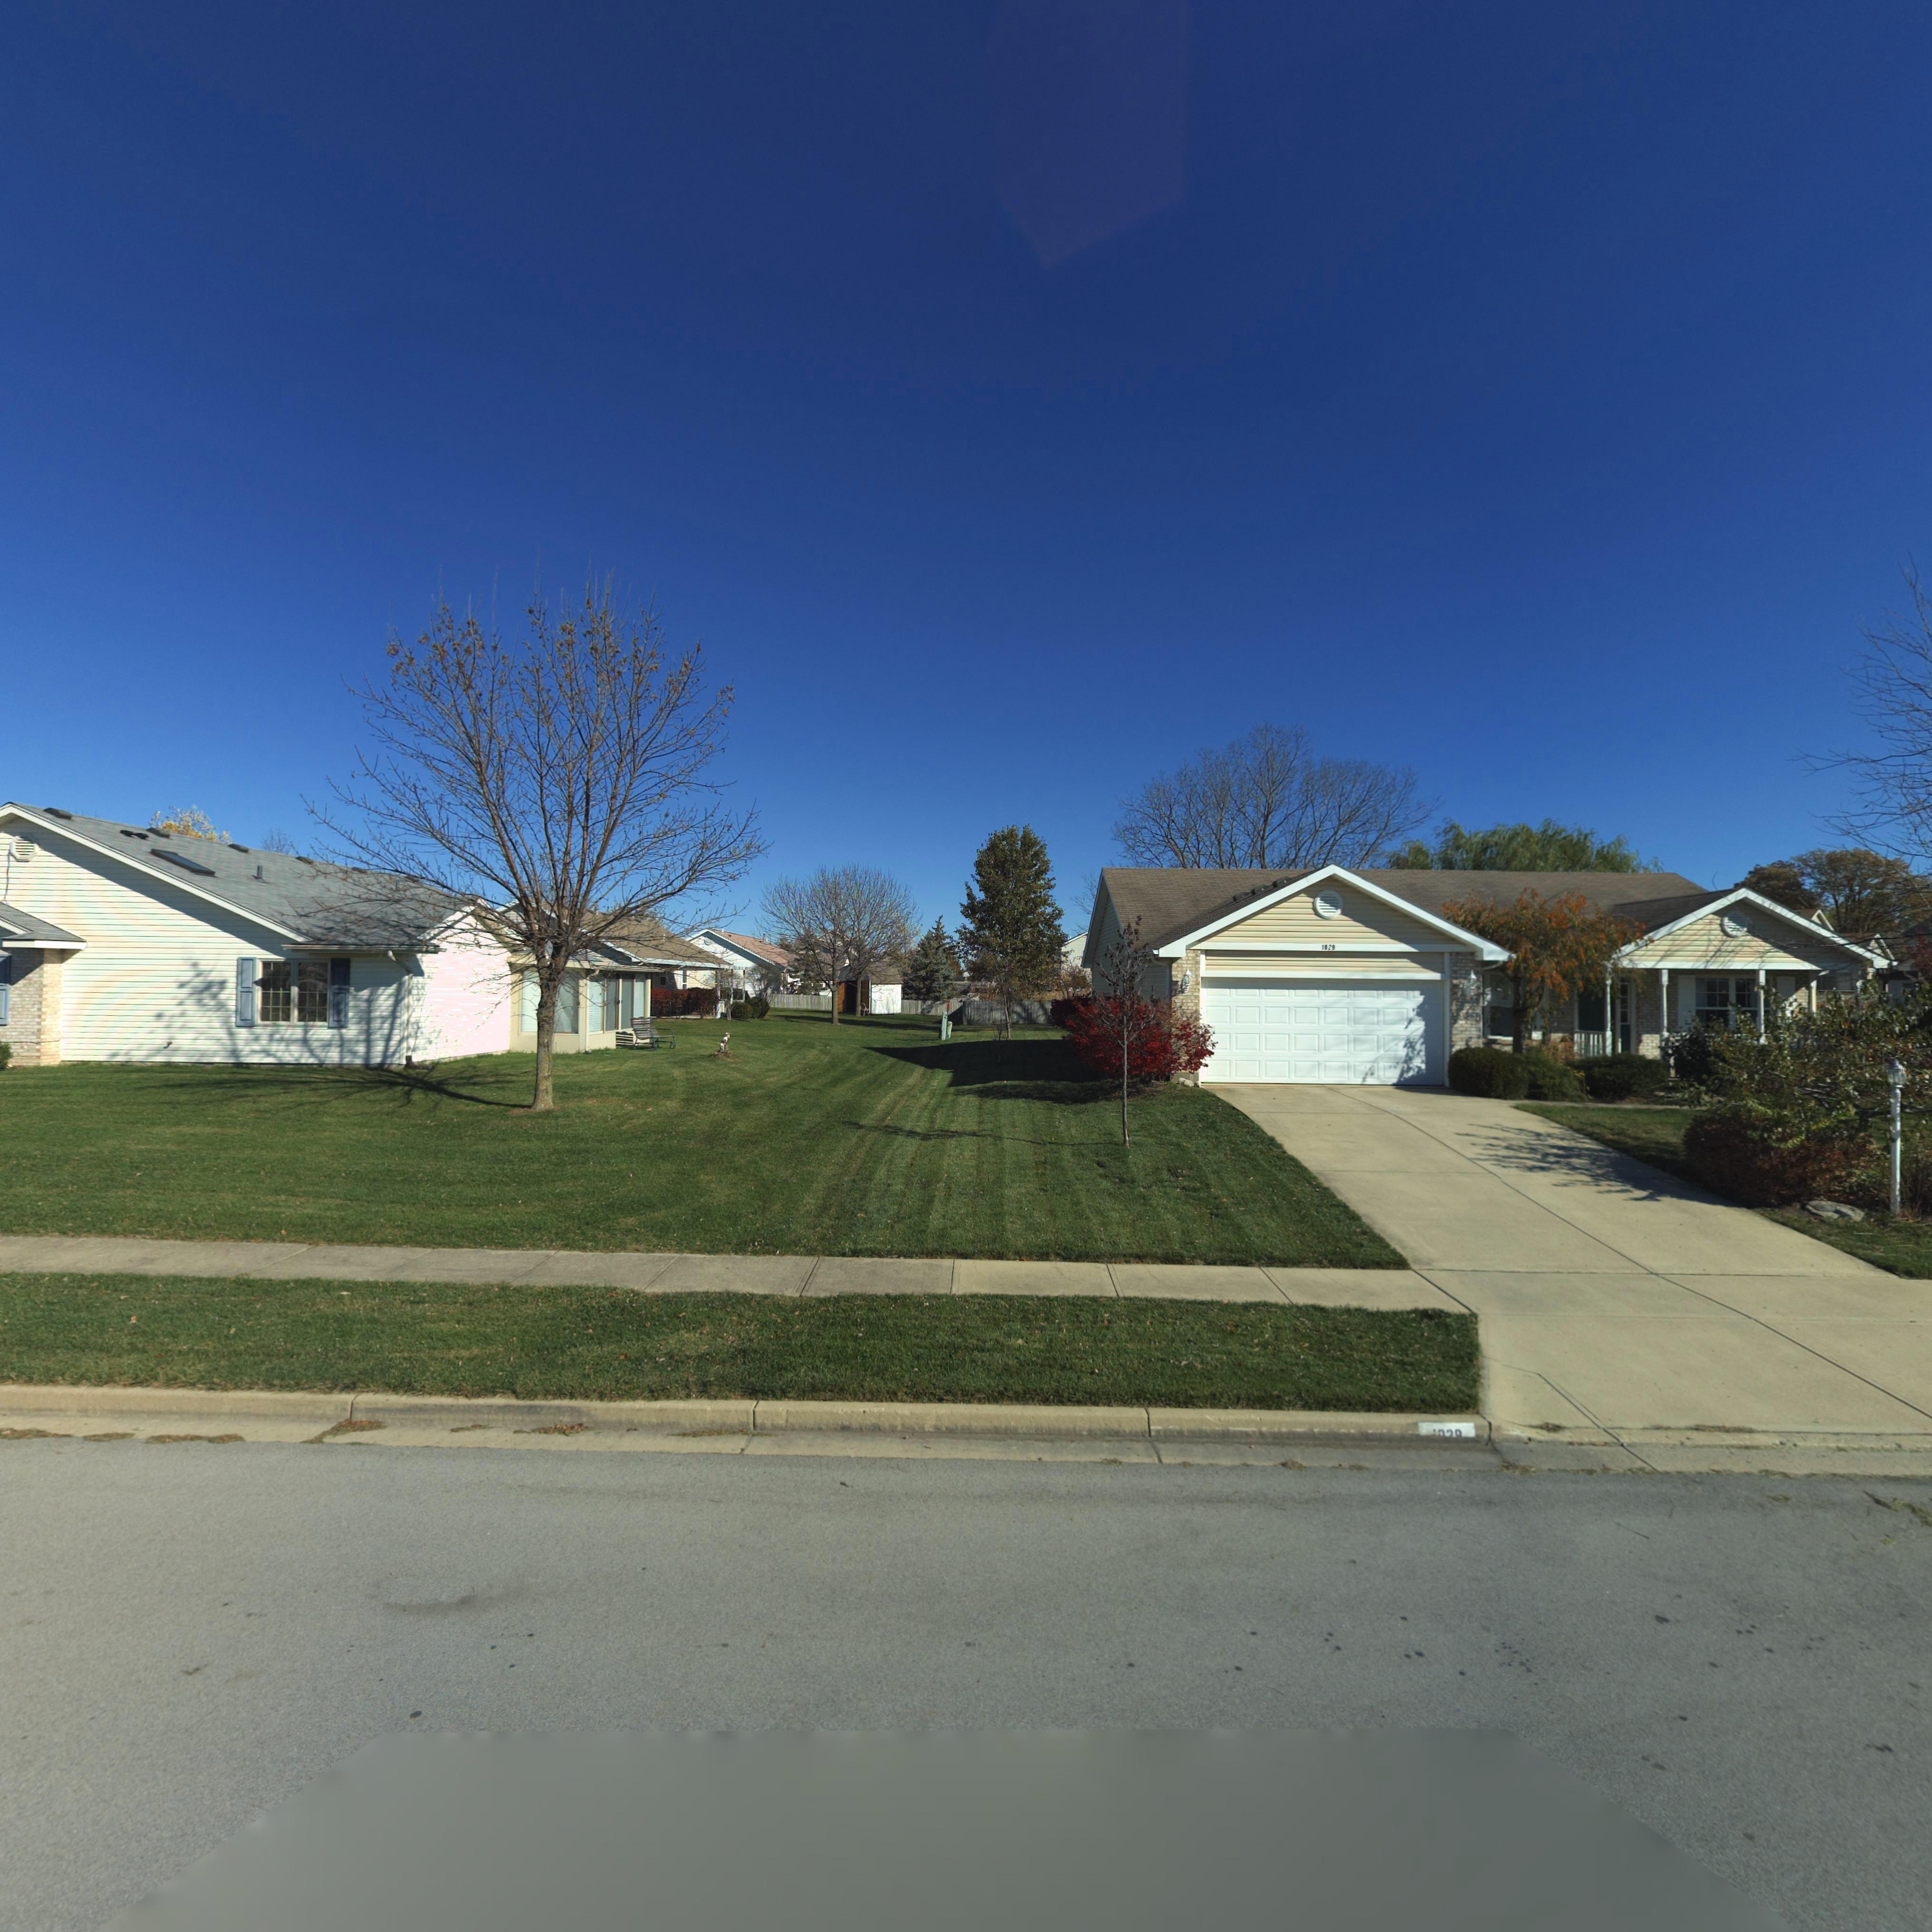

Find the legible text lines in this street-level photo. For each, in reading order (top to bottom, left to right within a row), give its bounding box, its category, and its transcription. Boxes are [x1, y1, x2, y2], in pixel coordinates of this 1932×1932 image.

[1321, 944, 1336, 951] StreetNumber: 1029